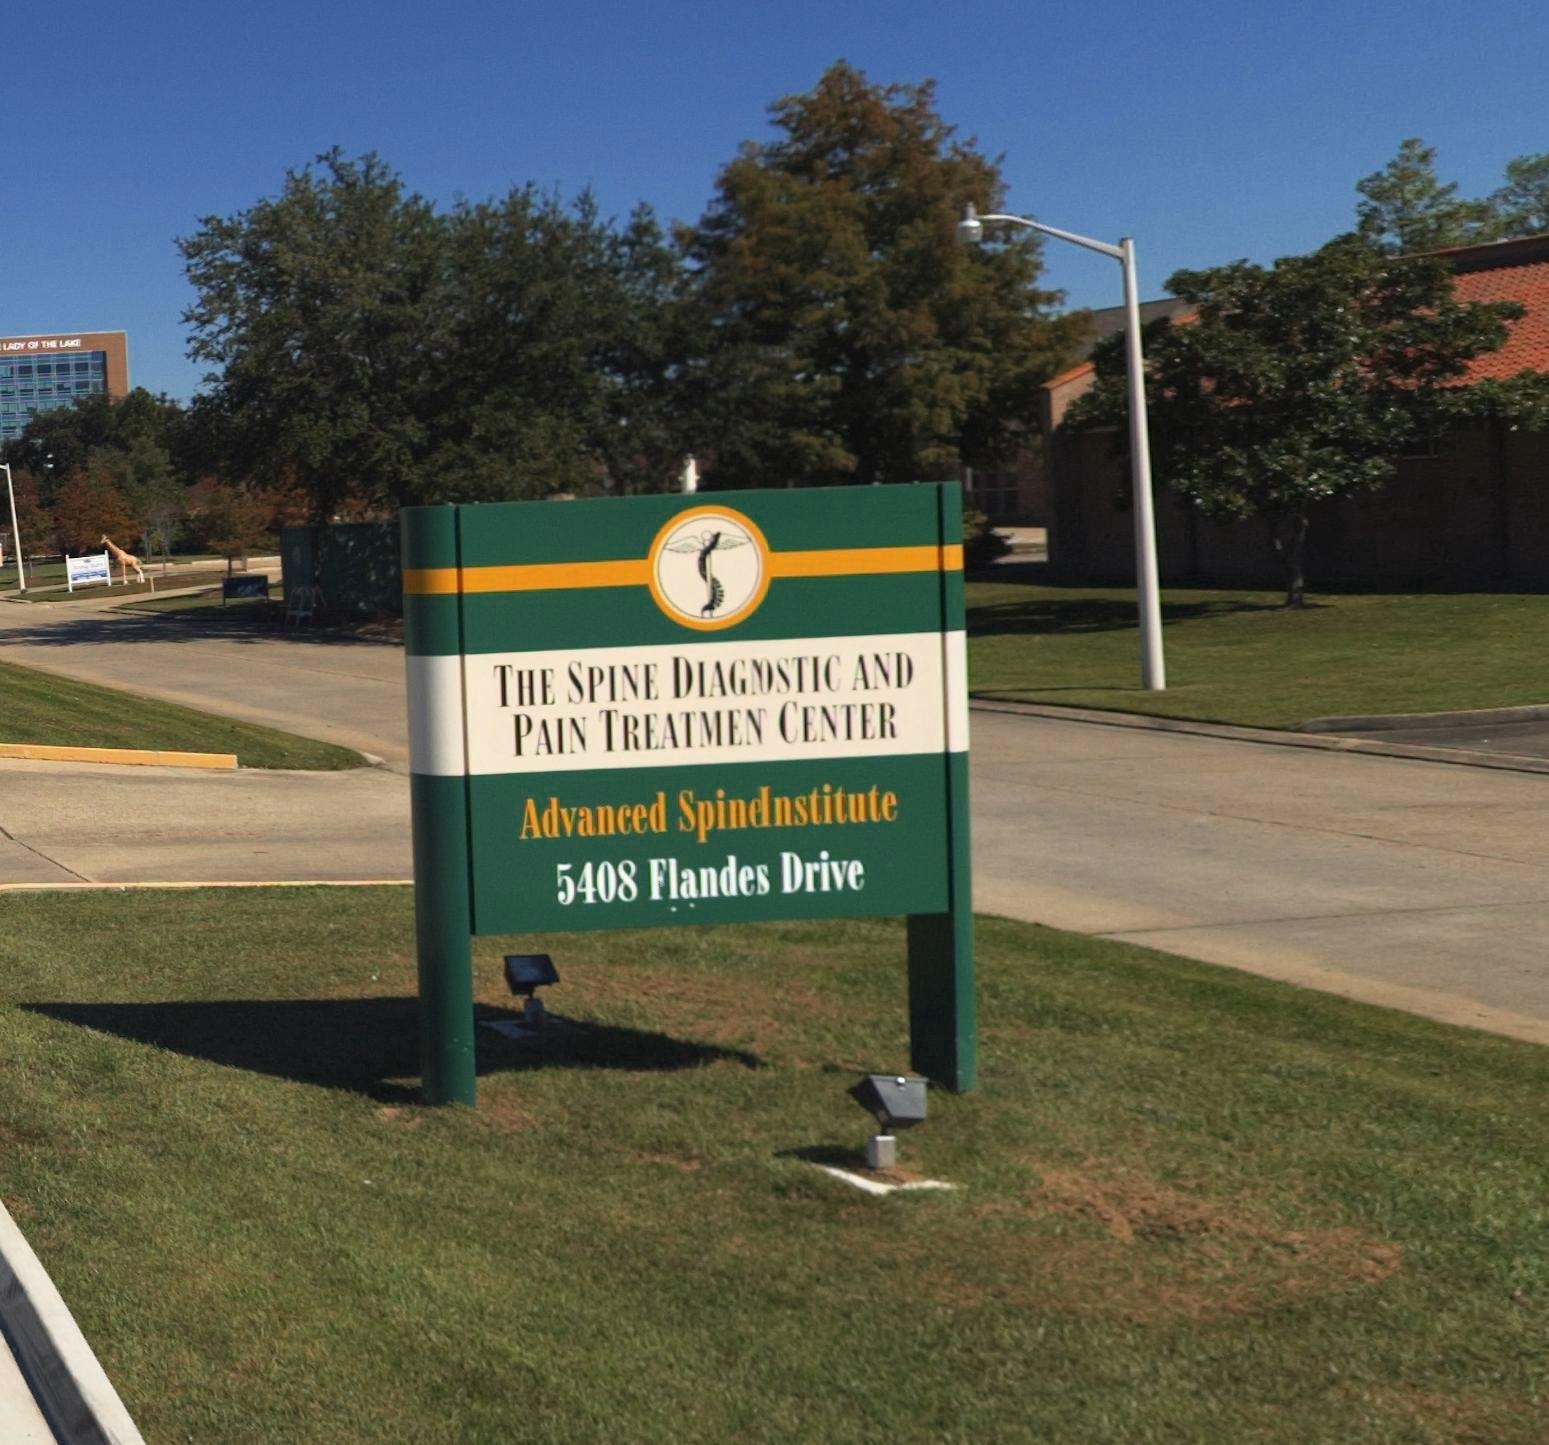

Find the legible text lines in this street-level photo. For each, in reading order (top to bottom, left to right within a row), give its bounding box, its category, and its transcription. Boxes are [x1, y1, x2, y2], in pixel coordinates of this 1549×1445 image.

[1, 338, 83, 352] None: *A*Y OF THE LA**
[491, 650, 914, 709] BusinessName: THE SPINE DIAGNOSTIC AND
[510, 699, 899, 758] BusinessName: PAIN TREATMENT CENTER
[515, 783, 901, 844] None: Advanced SpineInstitute
[556, 858, 639, 907] StreetNumber: 5408
[645, 848, 866, 903] StreetName: Flandes Drive